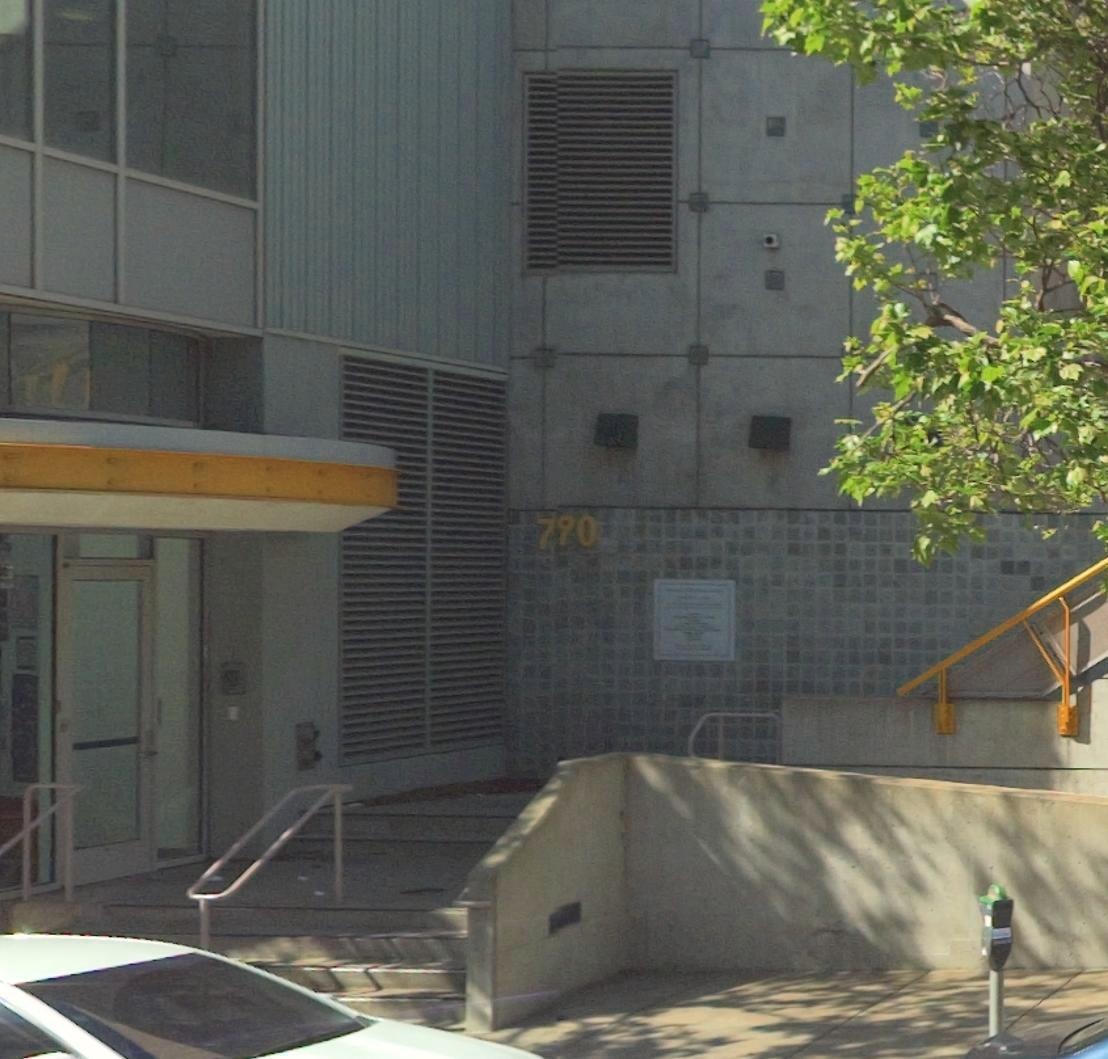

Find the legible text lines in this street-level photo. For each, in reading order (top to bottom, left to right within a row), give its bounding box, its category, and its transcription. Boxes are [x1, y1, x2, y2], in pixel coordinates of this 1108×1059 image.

[532, 511, 603, 556] StreetNumber: 790